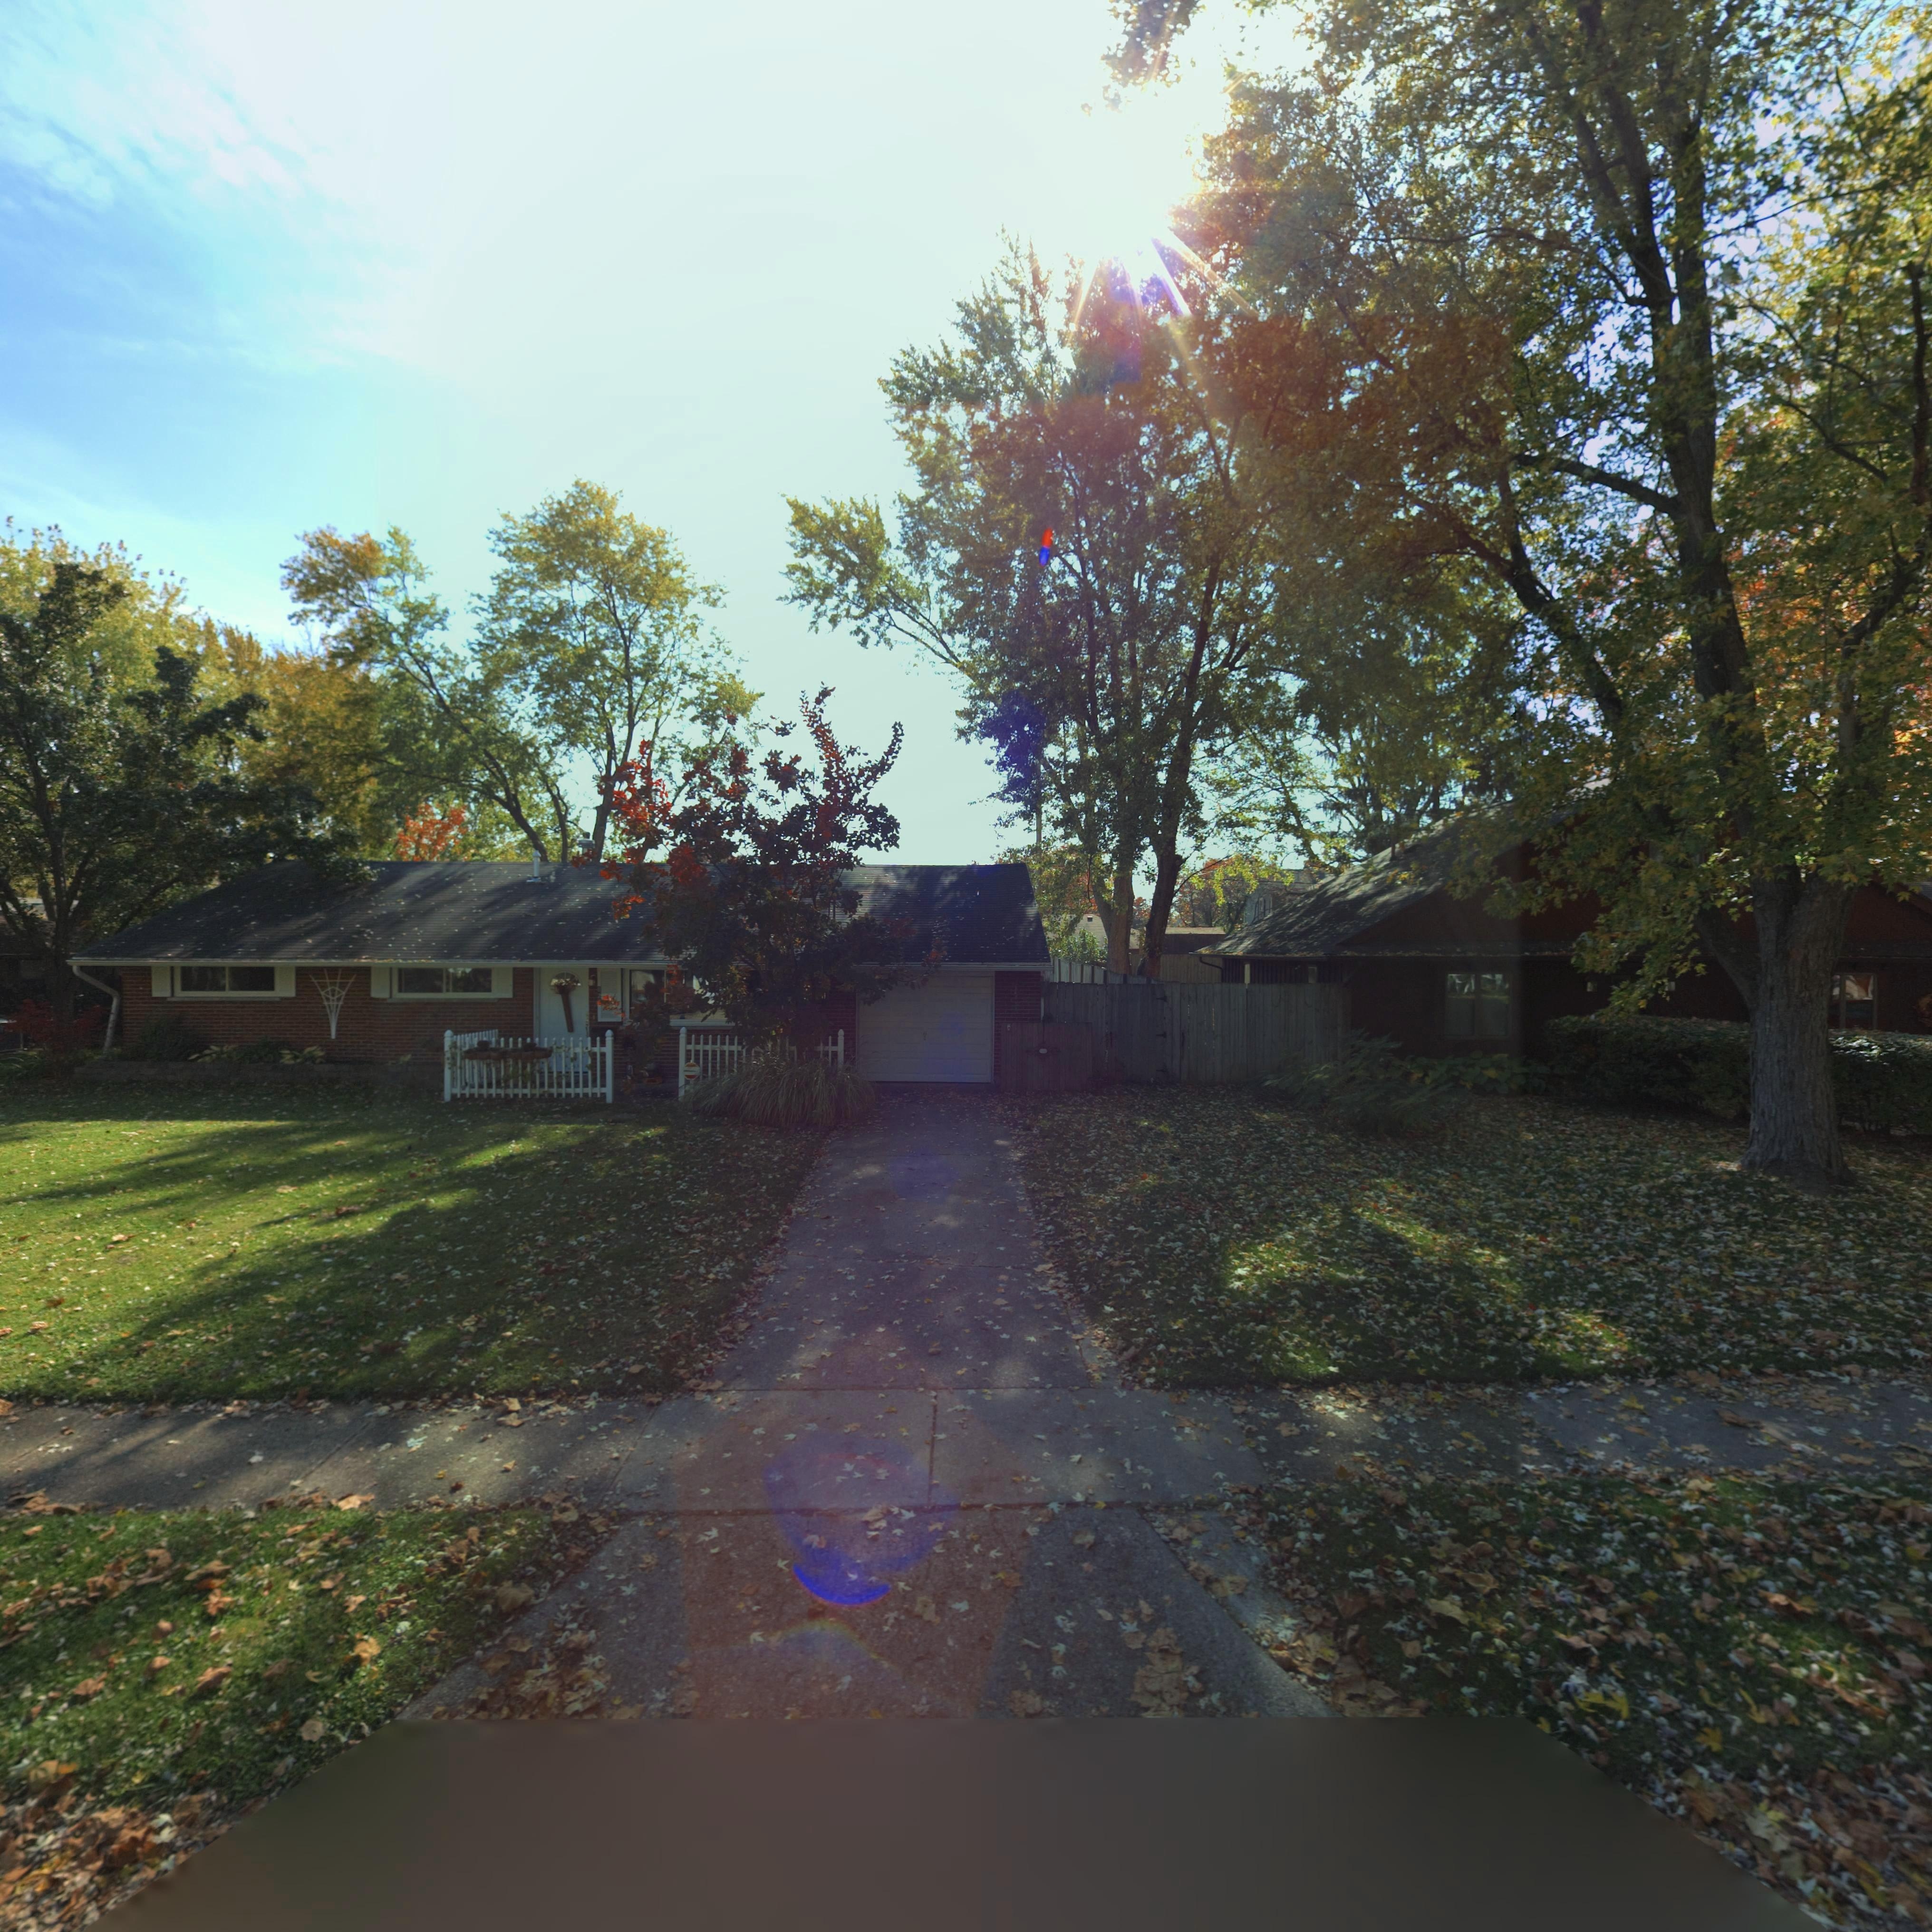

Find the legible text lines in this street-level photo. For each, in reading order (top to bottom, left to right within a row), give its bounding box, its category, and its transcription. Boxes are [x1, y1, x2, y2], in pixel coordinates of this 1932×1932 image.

[1661, 991, 1671, 1003] StreetNumber: 24